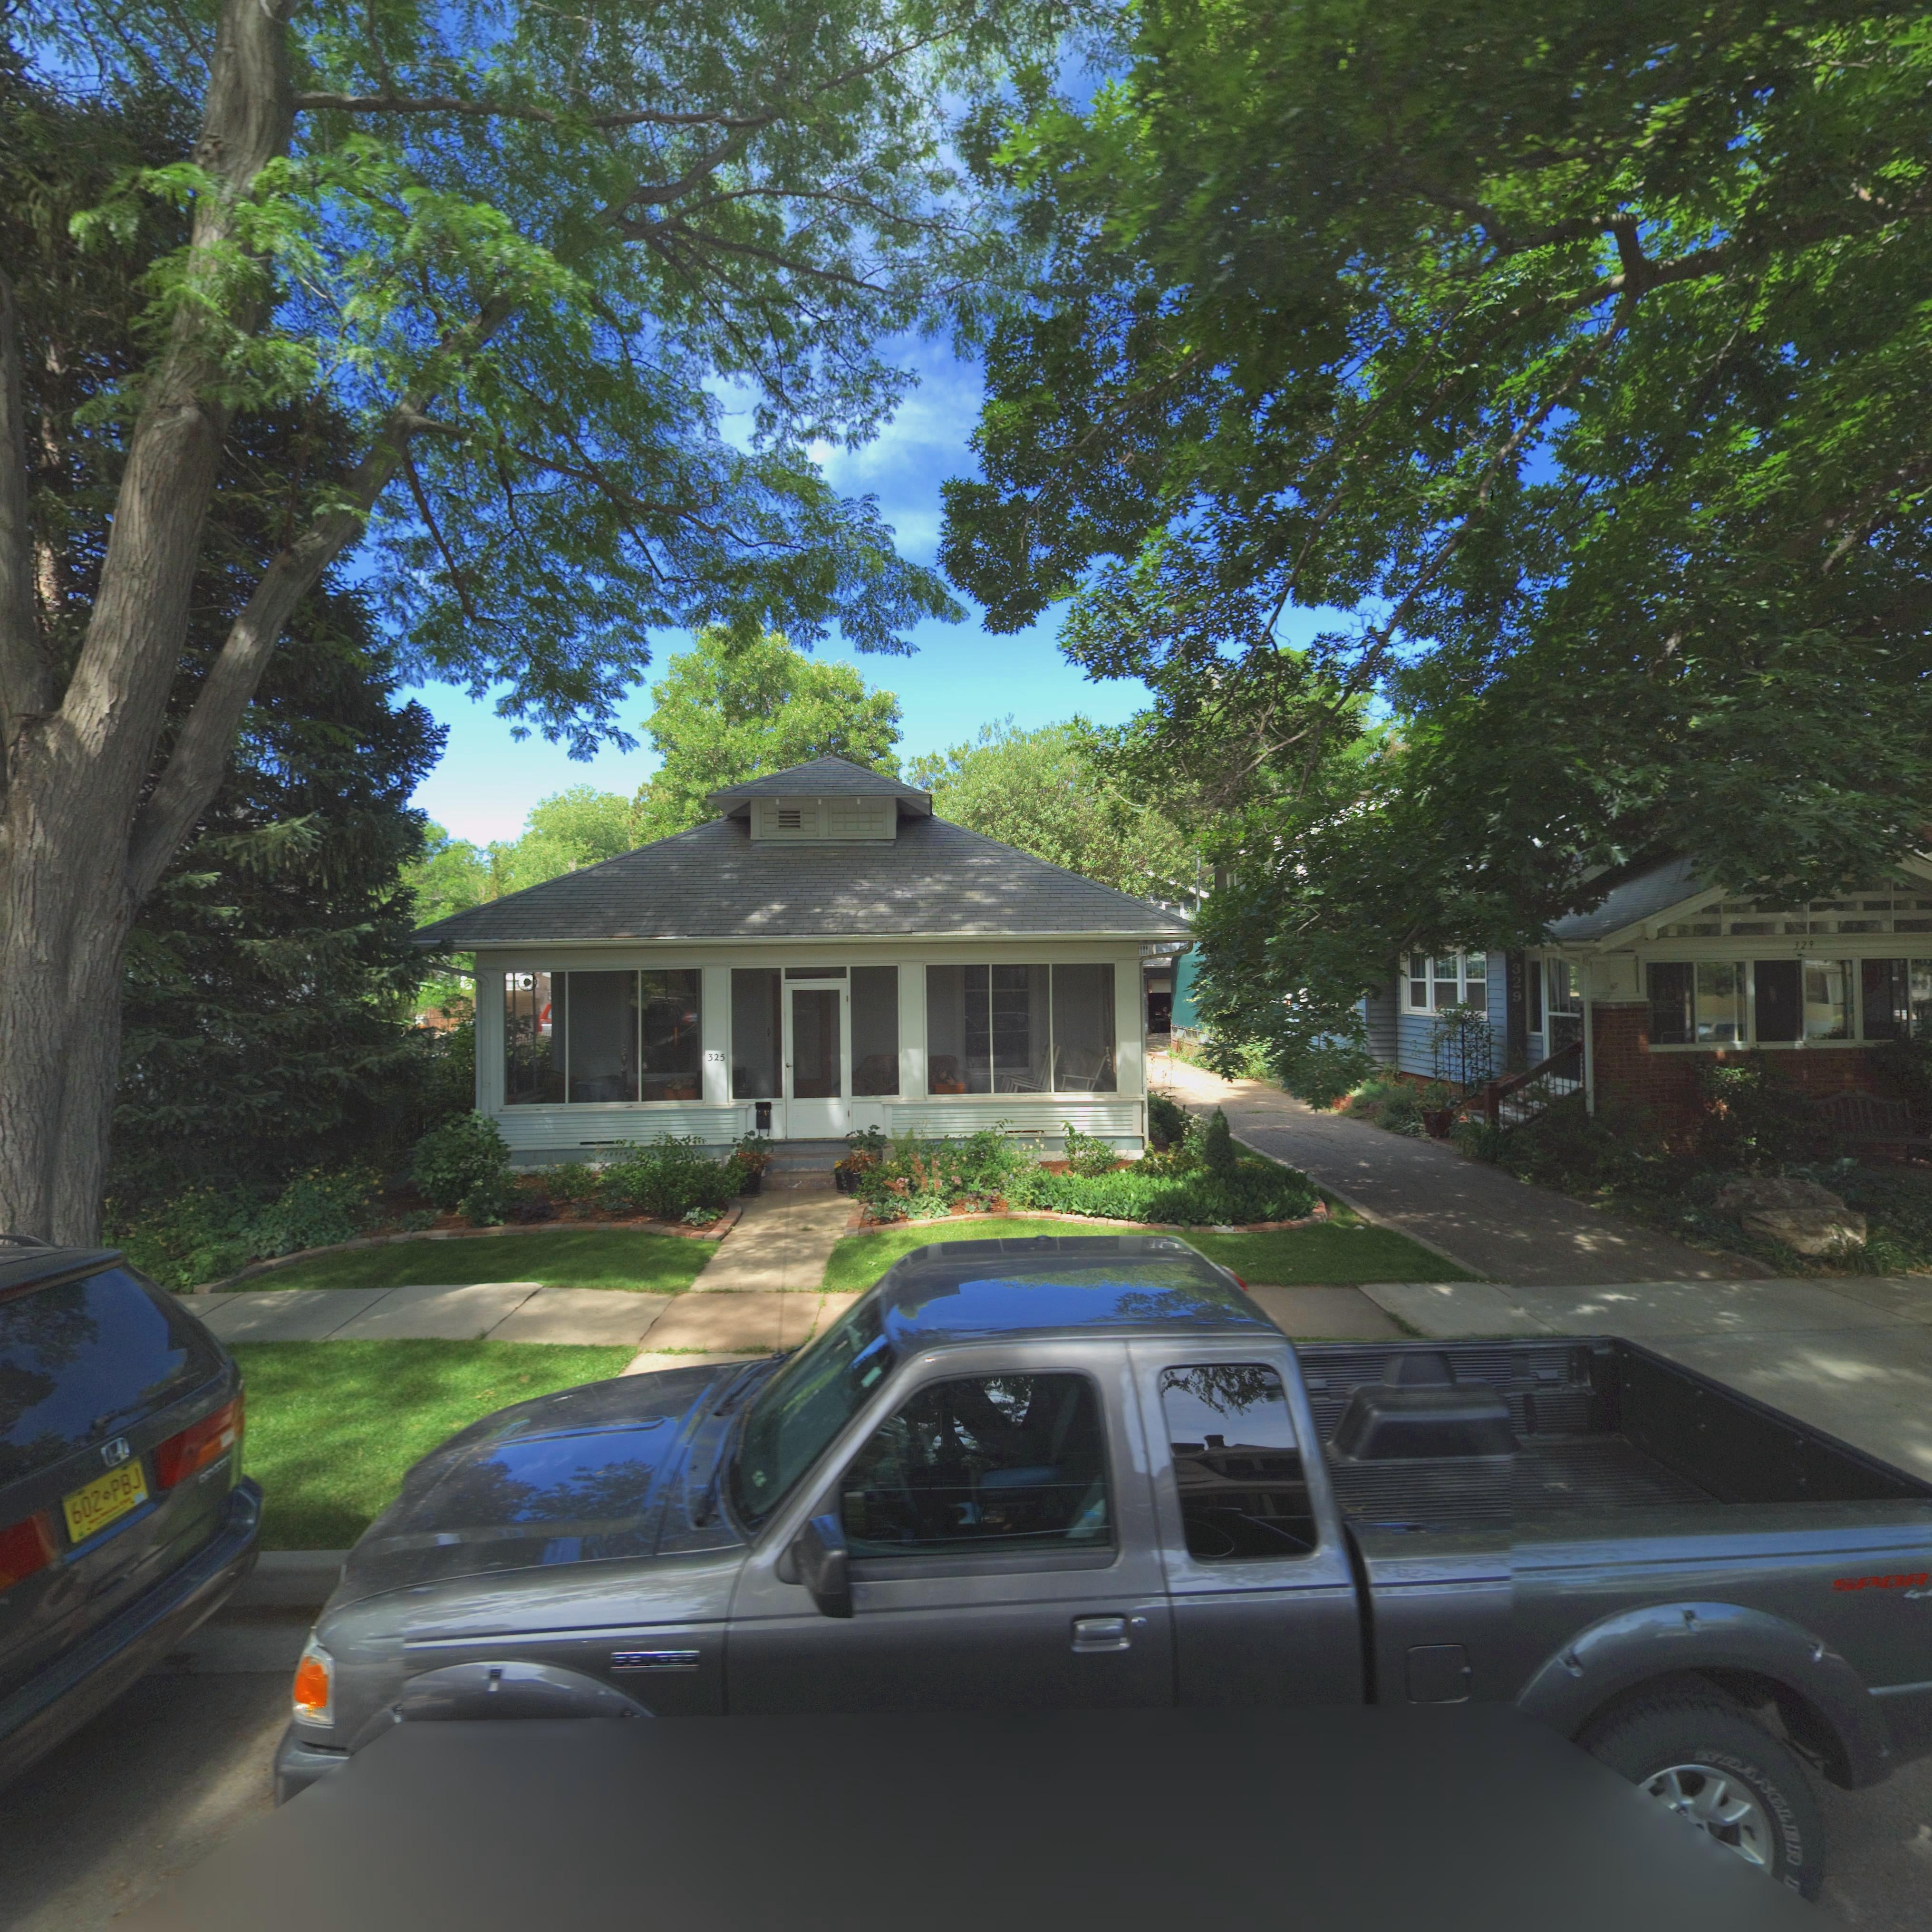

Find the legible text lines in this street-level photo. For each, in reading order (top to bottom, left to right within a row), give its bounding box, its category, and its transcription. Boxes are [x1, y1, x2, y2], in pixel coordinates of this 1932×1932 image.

[1792, 940, 1814, 950] StreetNumber: 329
[1511, 962, 1522, 1003] StreetNumber: 329
[707, 1053, 725, 1062] StreetNumber: 325